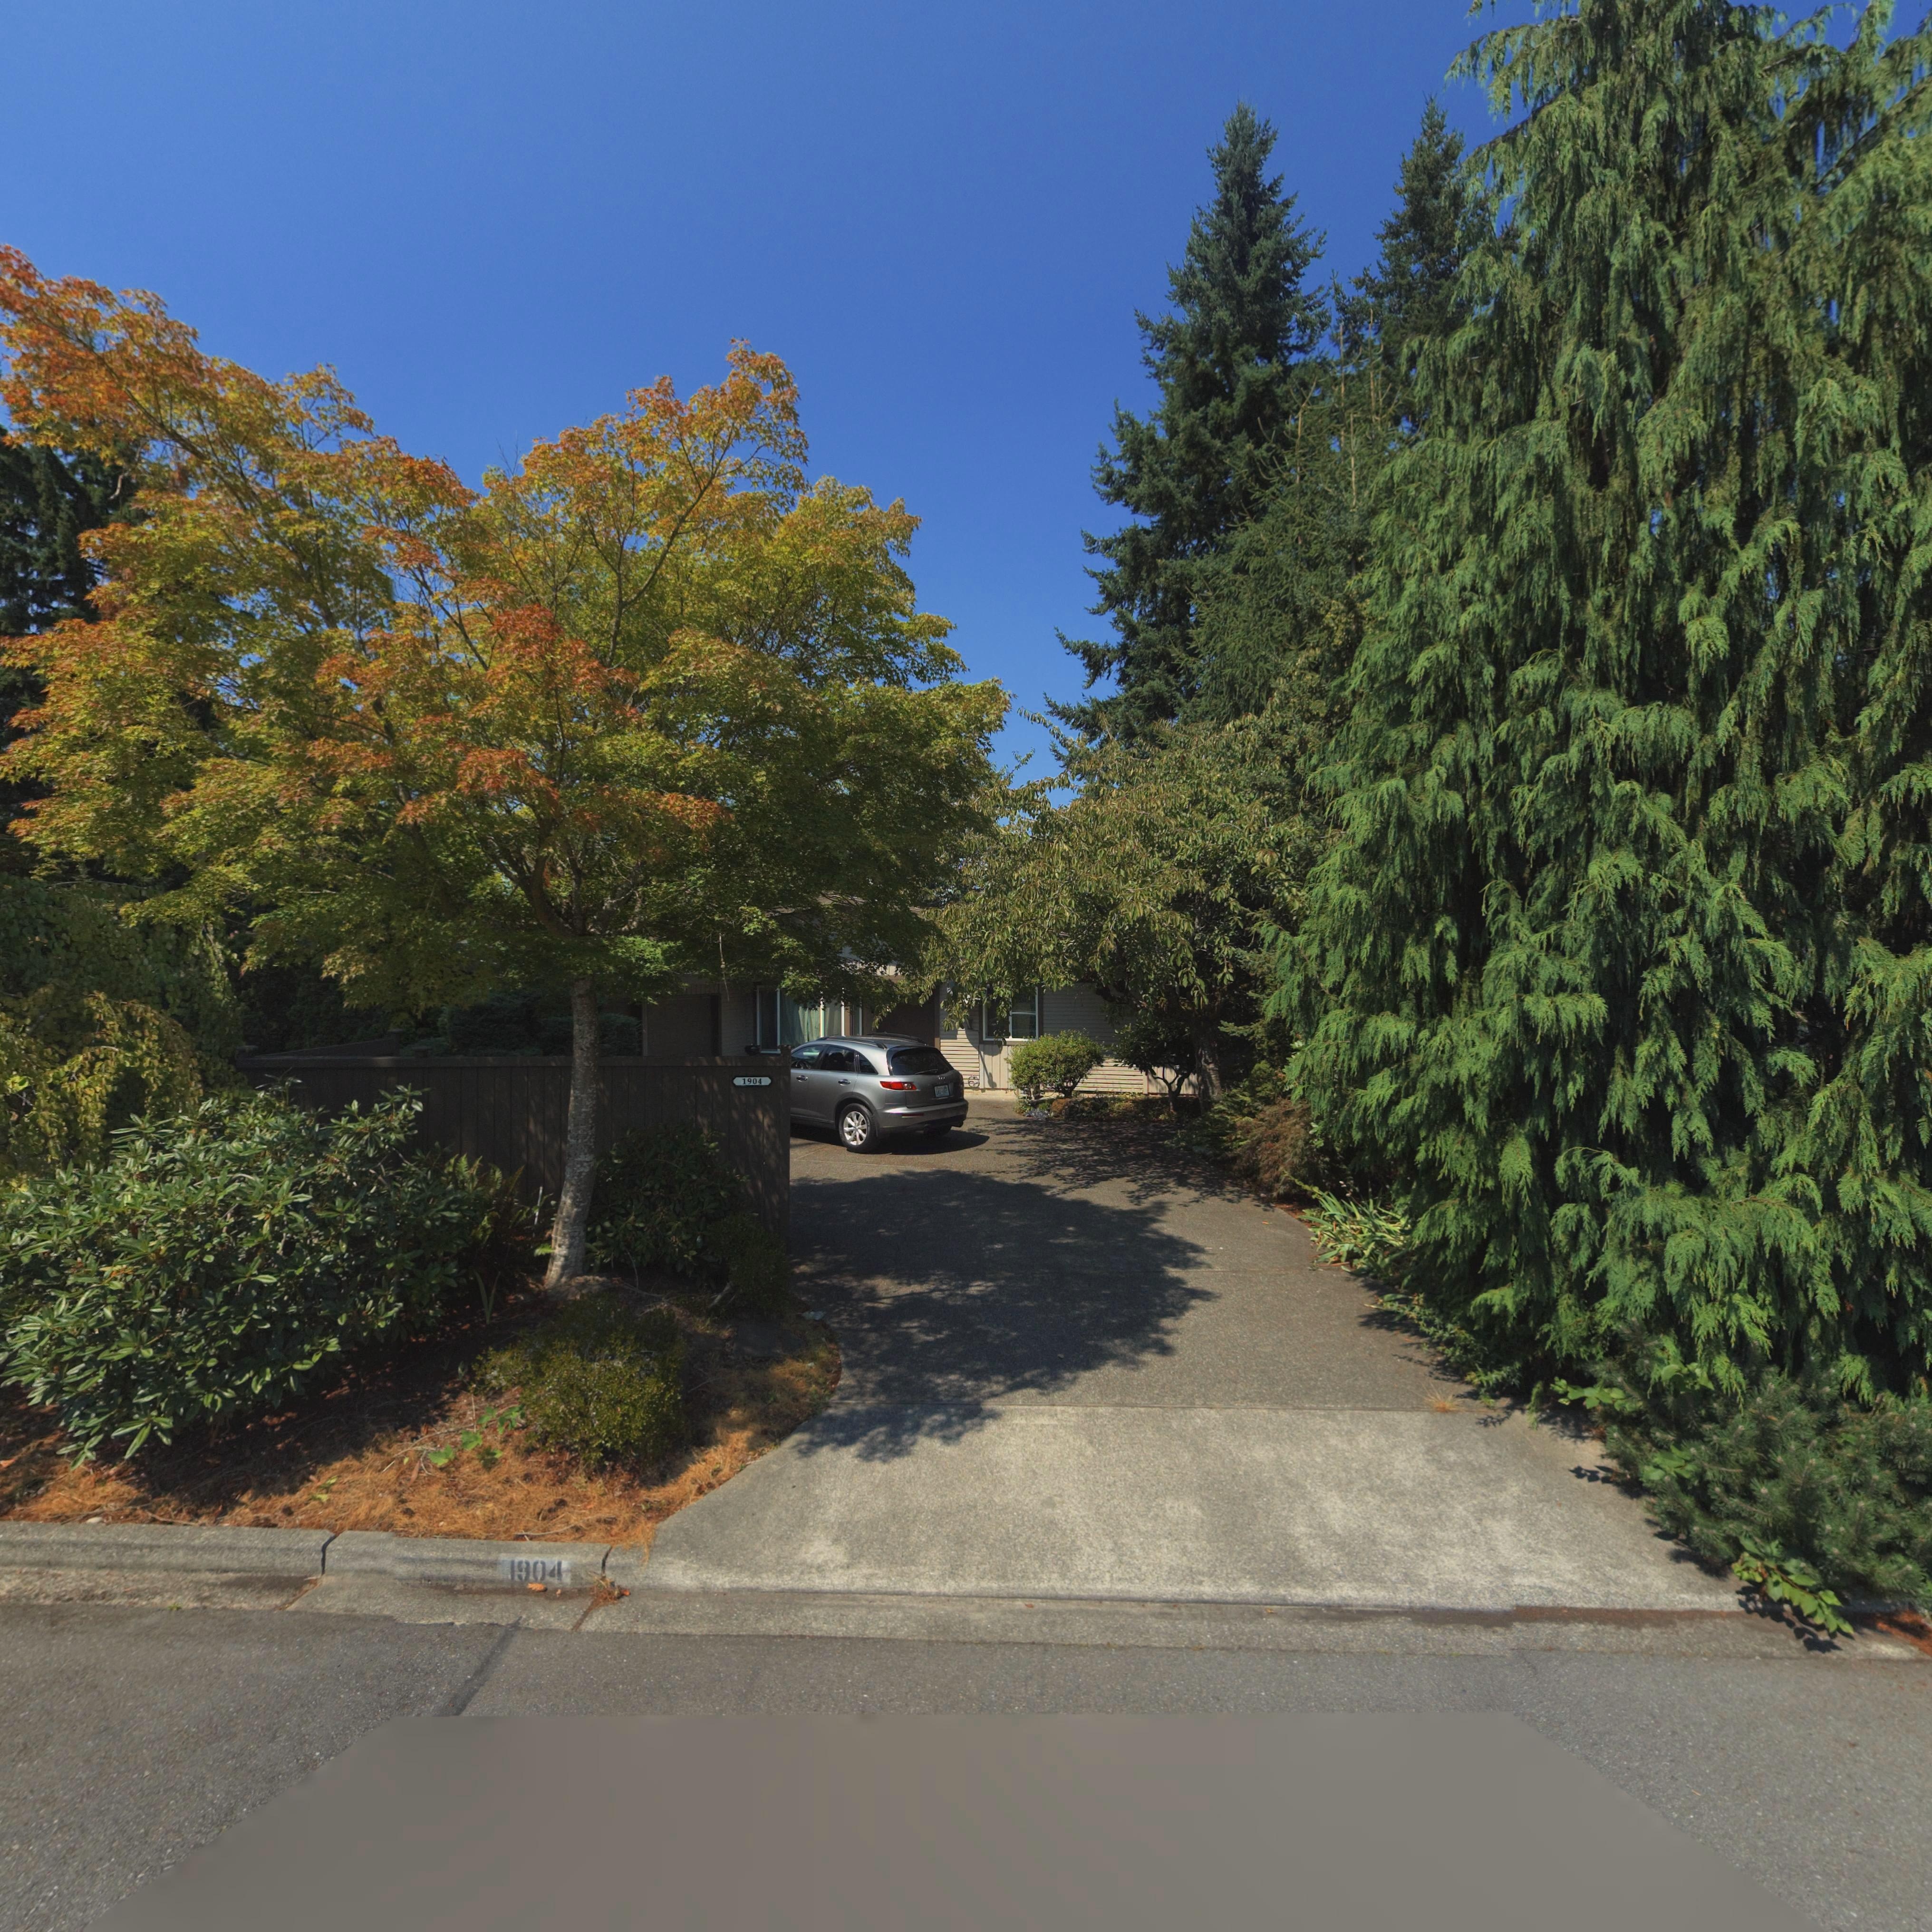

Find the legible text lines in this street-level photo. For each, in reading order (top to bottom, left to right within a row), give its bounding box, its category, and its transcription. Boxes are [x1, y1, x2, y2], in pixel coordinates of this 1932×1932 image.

[742, 1076, 763, 1085] StreetNumber: 1904
[509, 1558, 562, 1583] StreetNumber: 1904